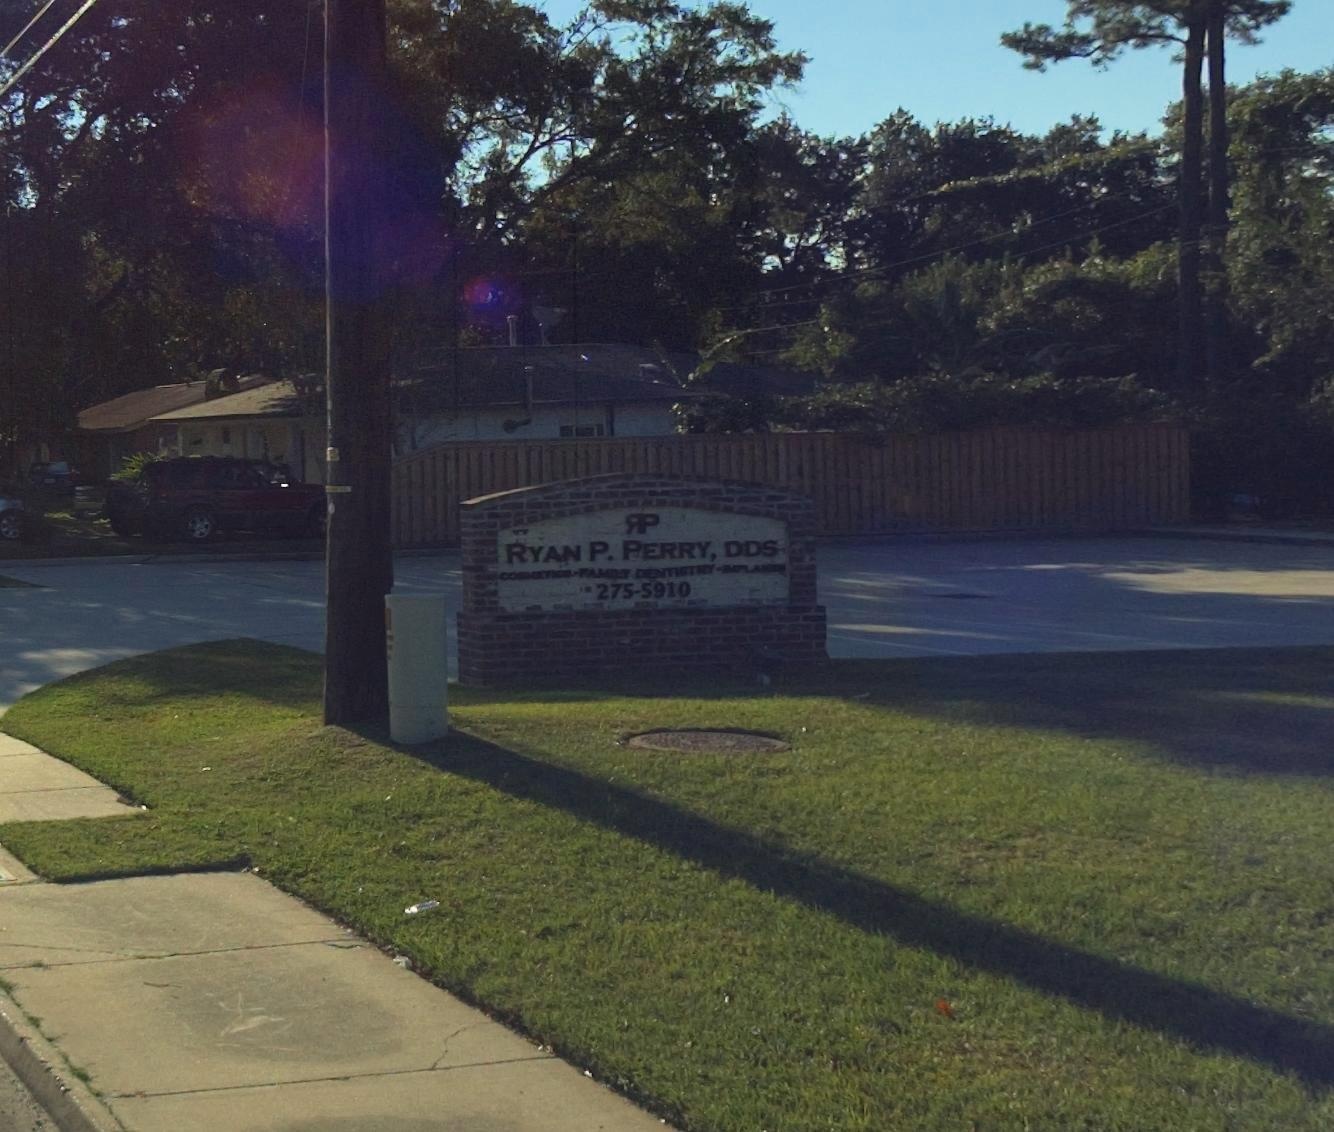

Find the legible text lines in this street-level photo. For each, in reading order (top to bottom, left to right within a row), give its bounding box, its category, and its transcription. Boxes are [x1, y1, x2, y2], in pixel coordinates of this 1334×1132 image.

[503, 536, 781, 567] BusinessName: RYAN P. PERRY, DDS
[576, 562, 719, 582] None: FAMILY DENTISTRY
[594, 578, 695, 603] None: 275-5910